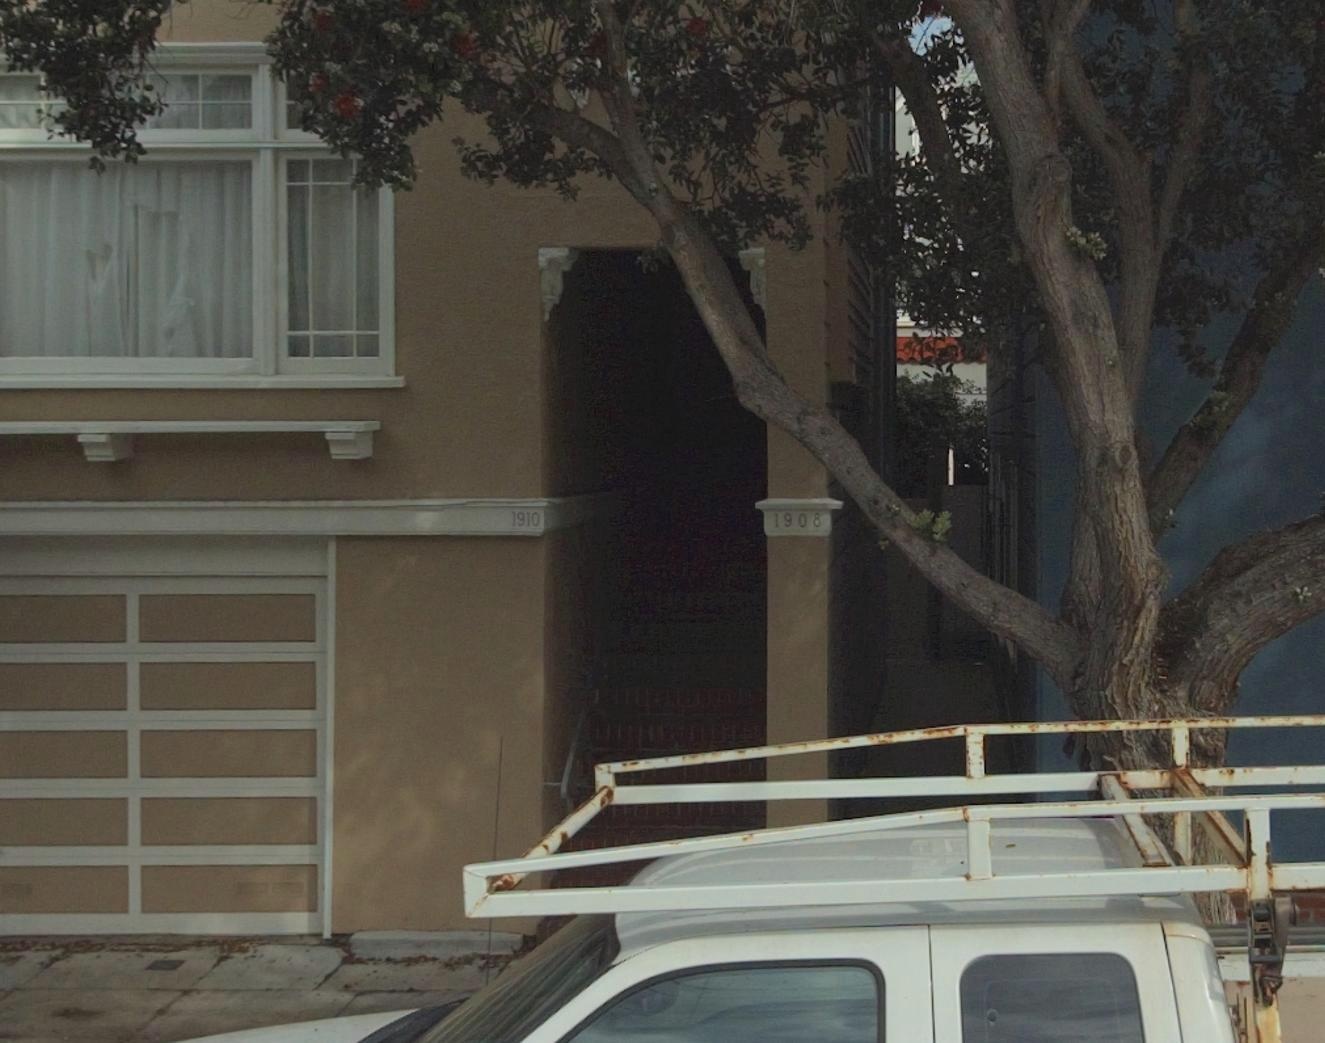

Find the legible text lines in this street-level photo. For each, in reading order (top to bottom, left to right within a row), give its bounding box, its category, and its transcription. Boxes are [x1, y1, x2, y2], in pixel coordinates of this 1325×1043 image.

[510, 511, 541, 527] StreetNumber: 1910
[772, 511, 823, 528] StreetNumber: 1908